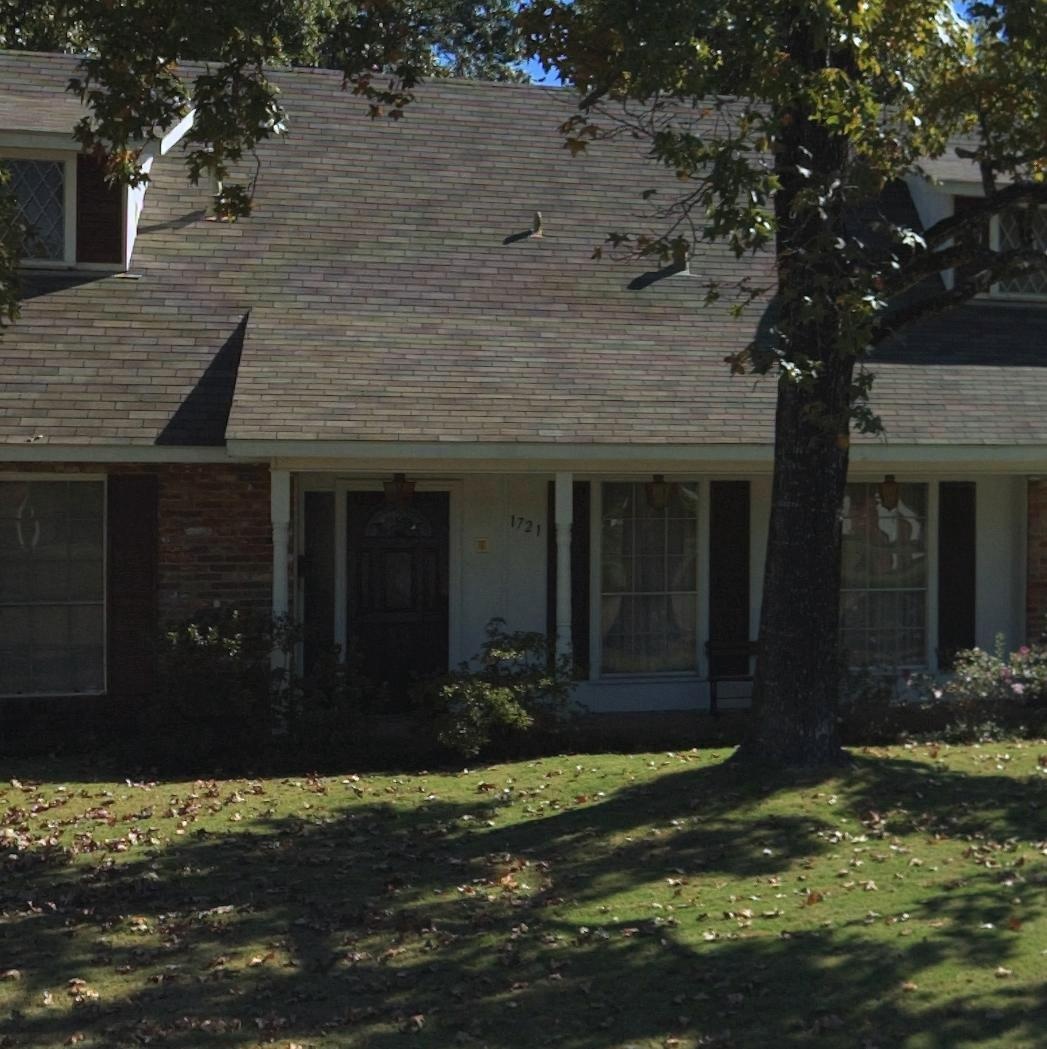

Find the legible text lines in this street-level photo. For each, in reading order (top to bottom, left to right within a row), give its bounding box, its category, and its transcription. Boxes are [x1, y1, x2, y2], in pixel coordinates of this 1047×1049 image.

[509, 513, 542, 538] StreetNumber: 1721